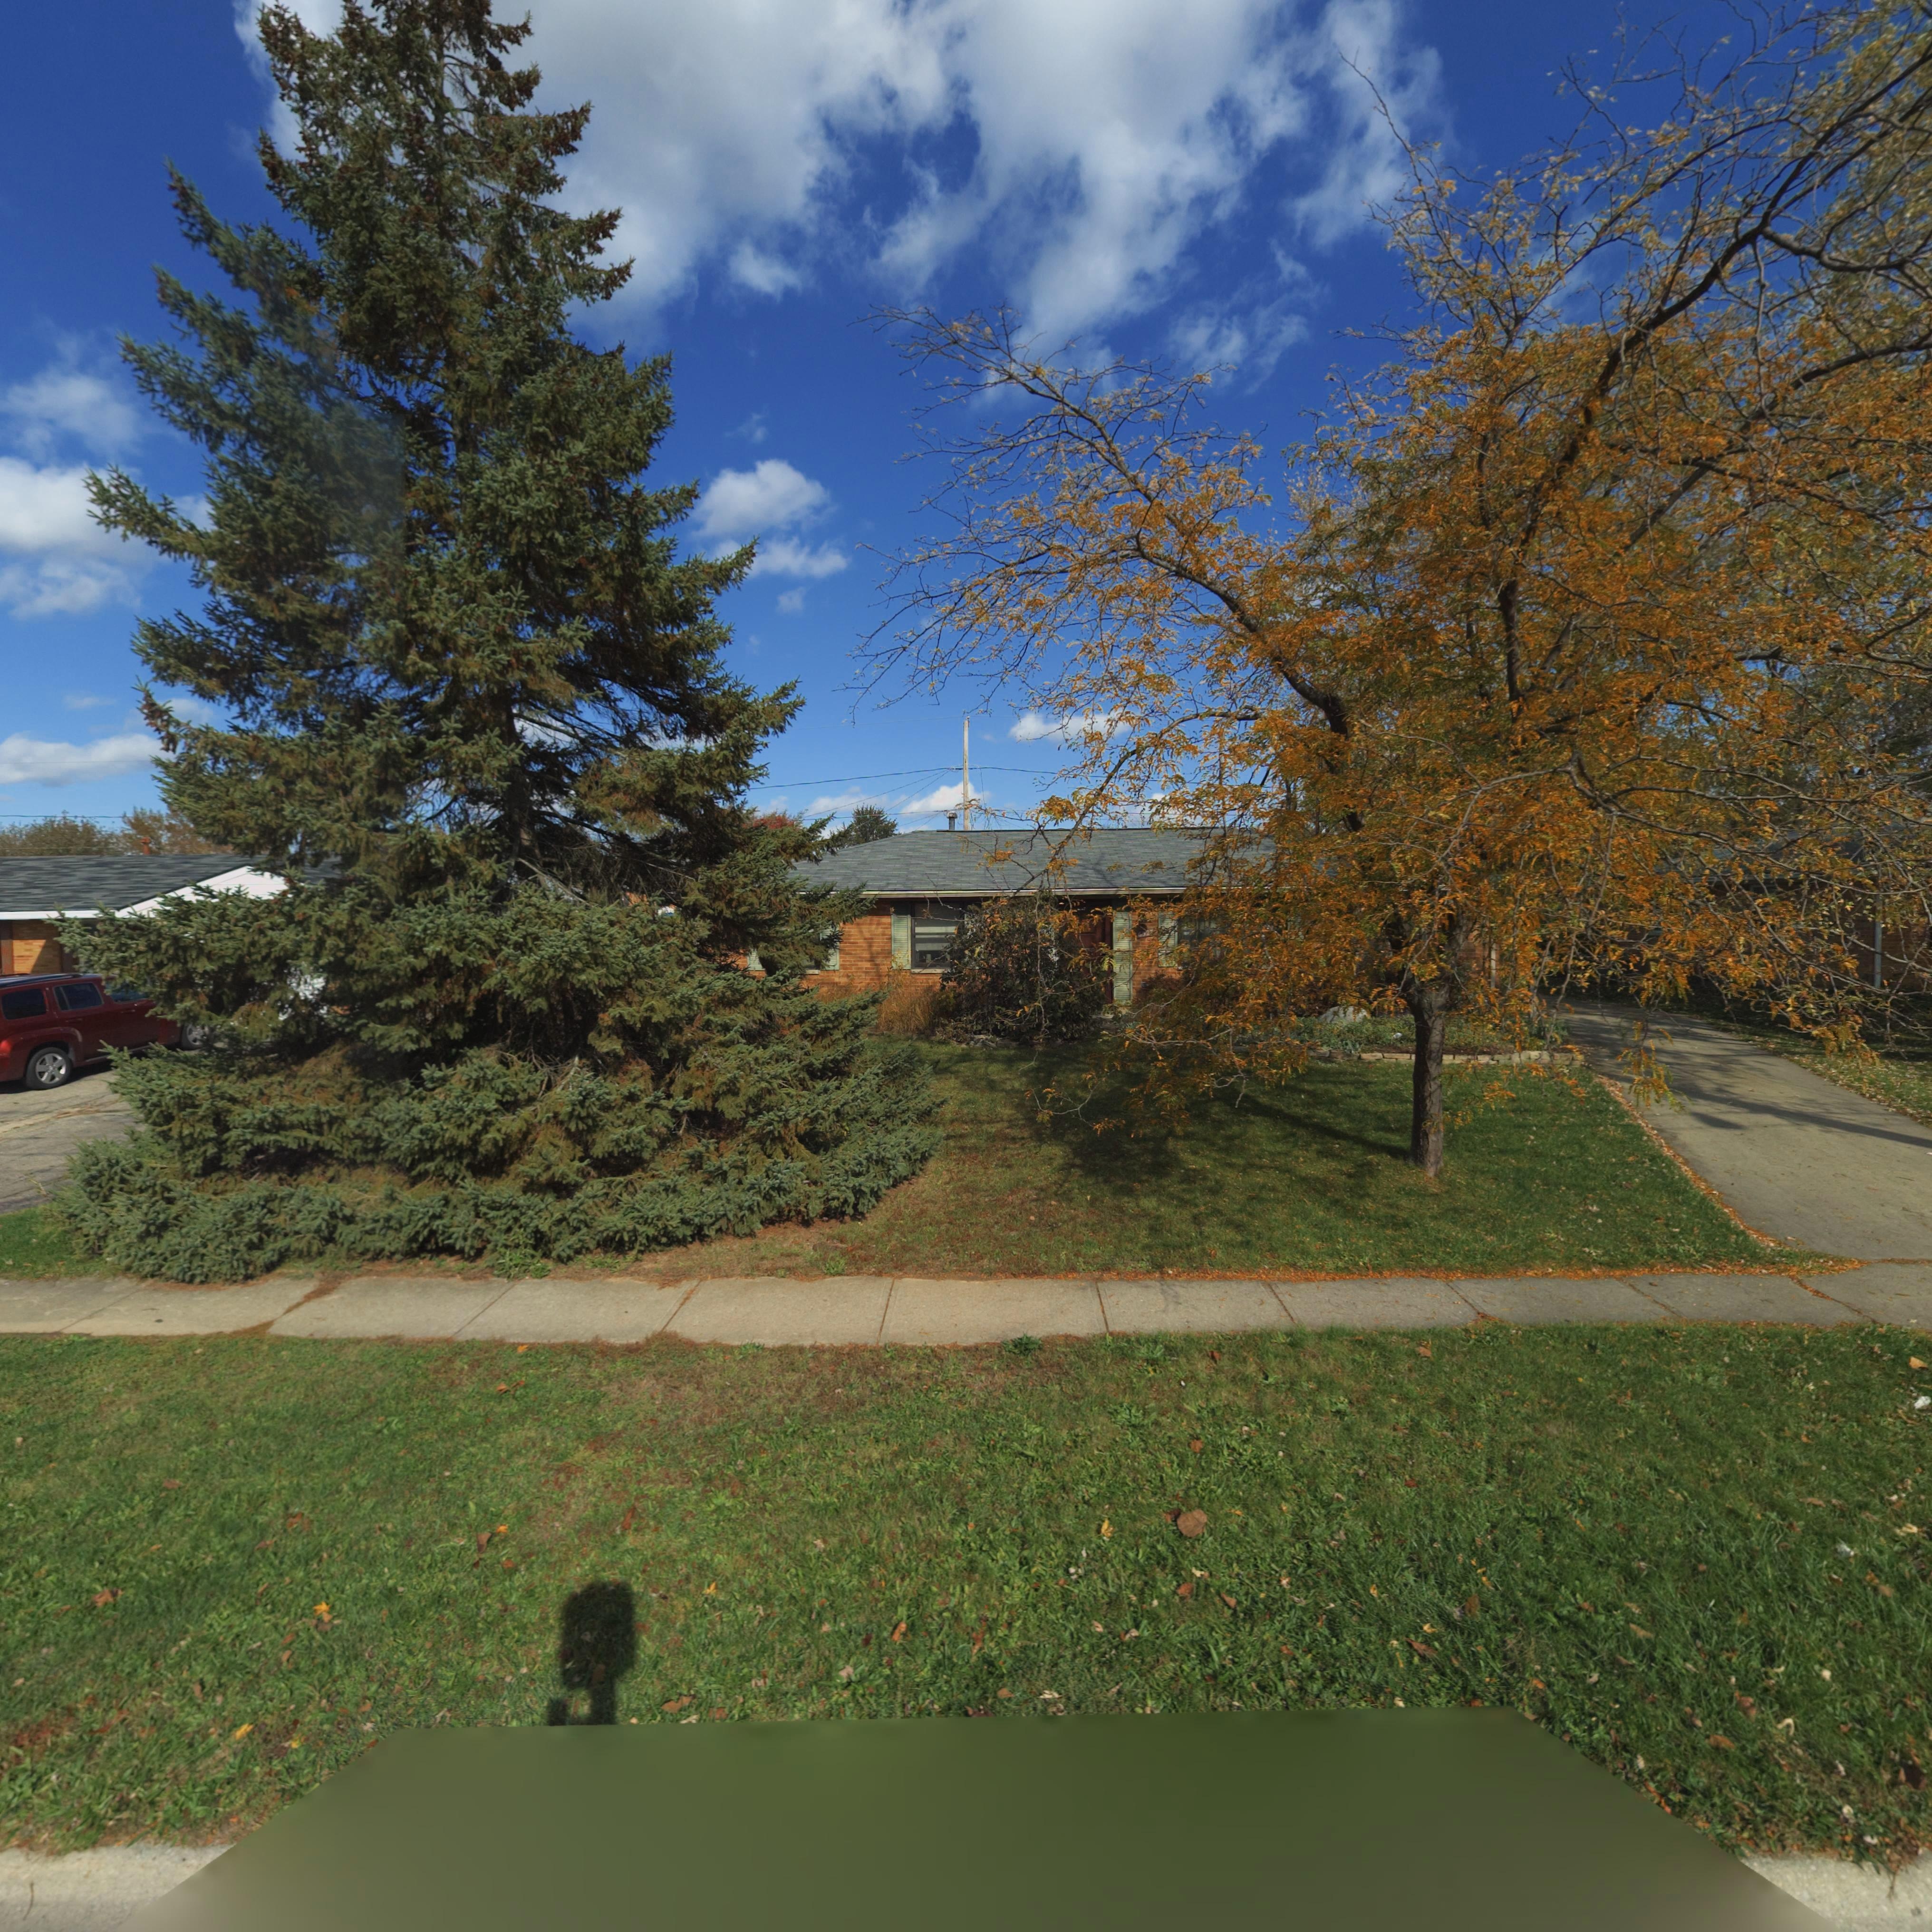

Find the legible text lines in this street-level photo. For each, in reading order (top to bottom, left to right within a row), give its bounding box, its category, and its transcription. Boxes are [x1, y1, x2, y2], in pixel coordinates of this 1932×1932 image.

[1138, 928, 1154, 938] StreetNumber: 632*